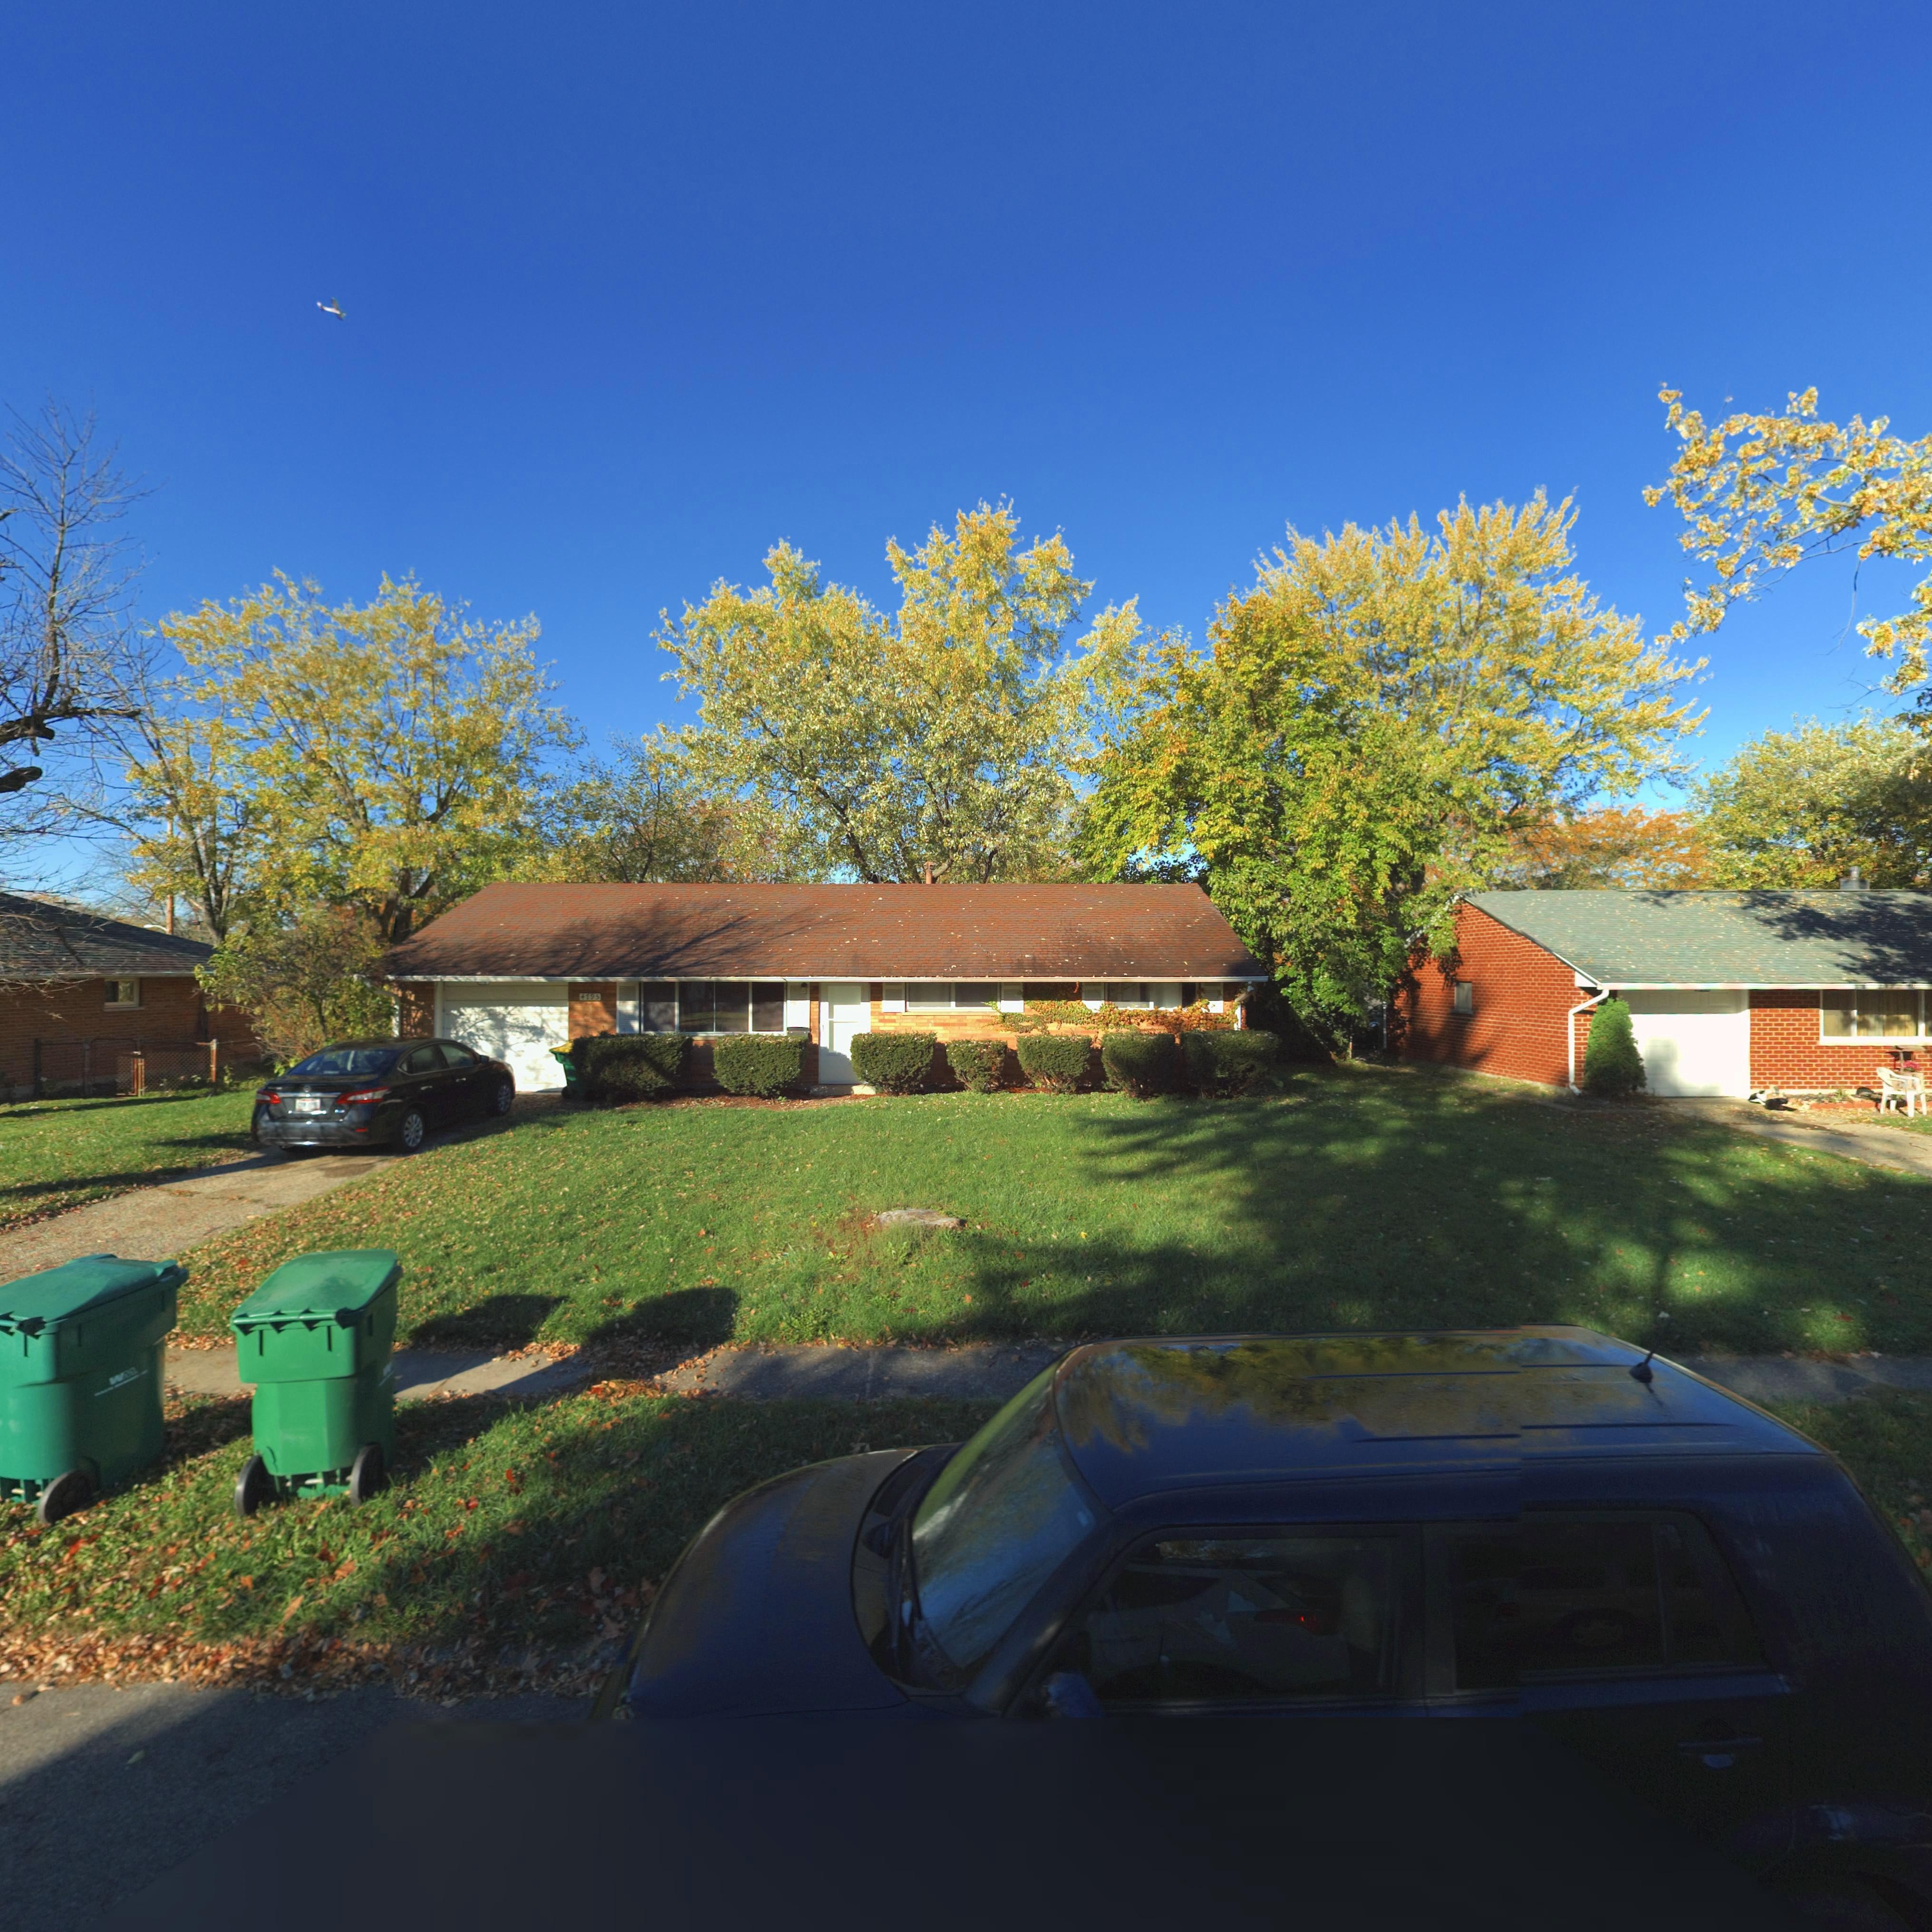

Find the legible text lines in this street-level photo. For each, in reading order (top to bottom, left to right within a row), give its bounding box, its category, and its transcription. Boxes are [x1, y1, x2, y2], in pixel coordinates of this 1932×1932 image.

[580, 993, 599, 1000] StreetNumber: 4195